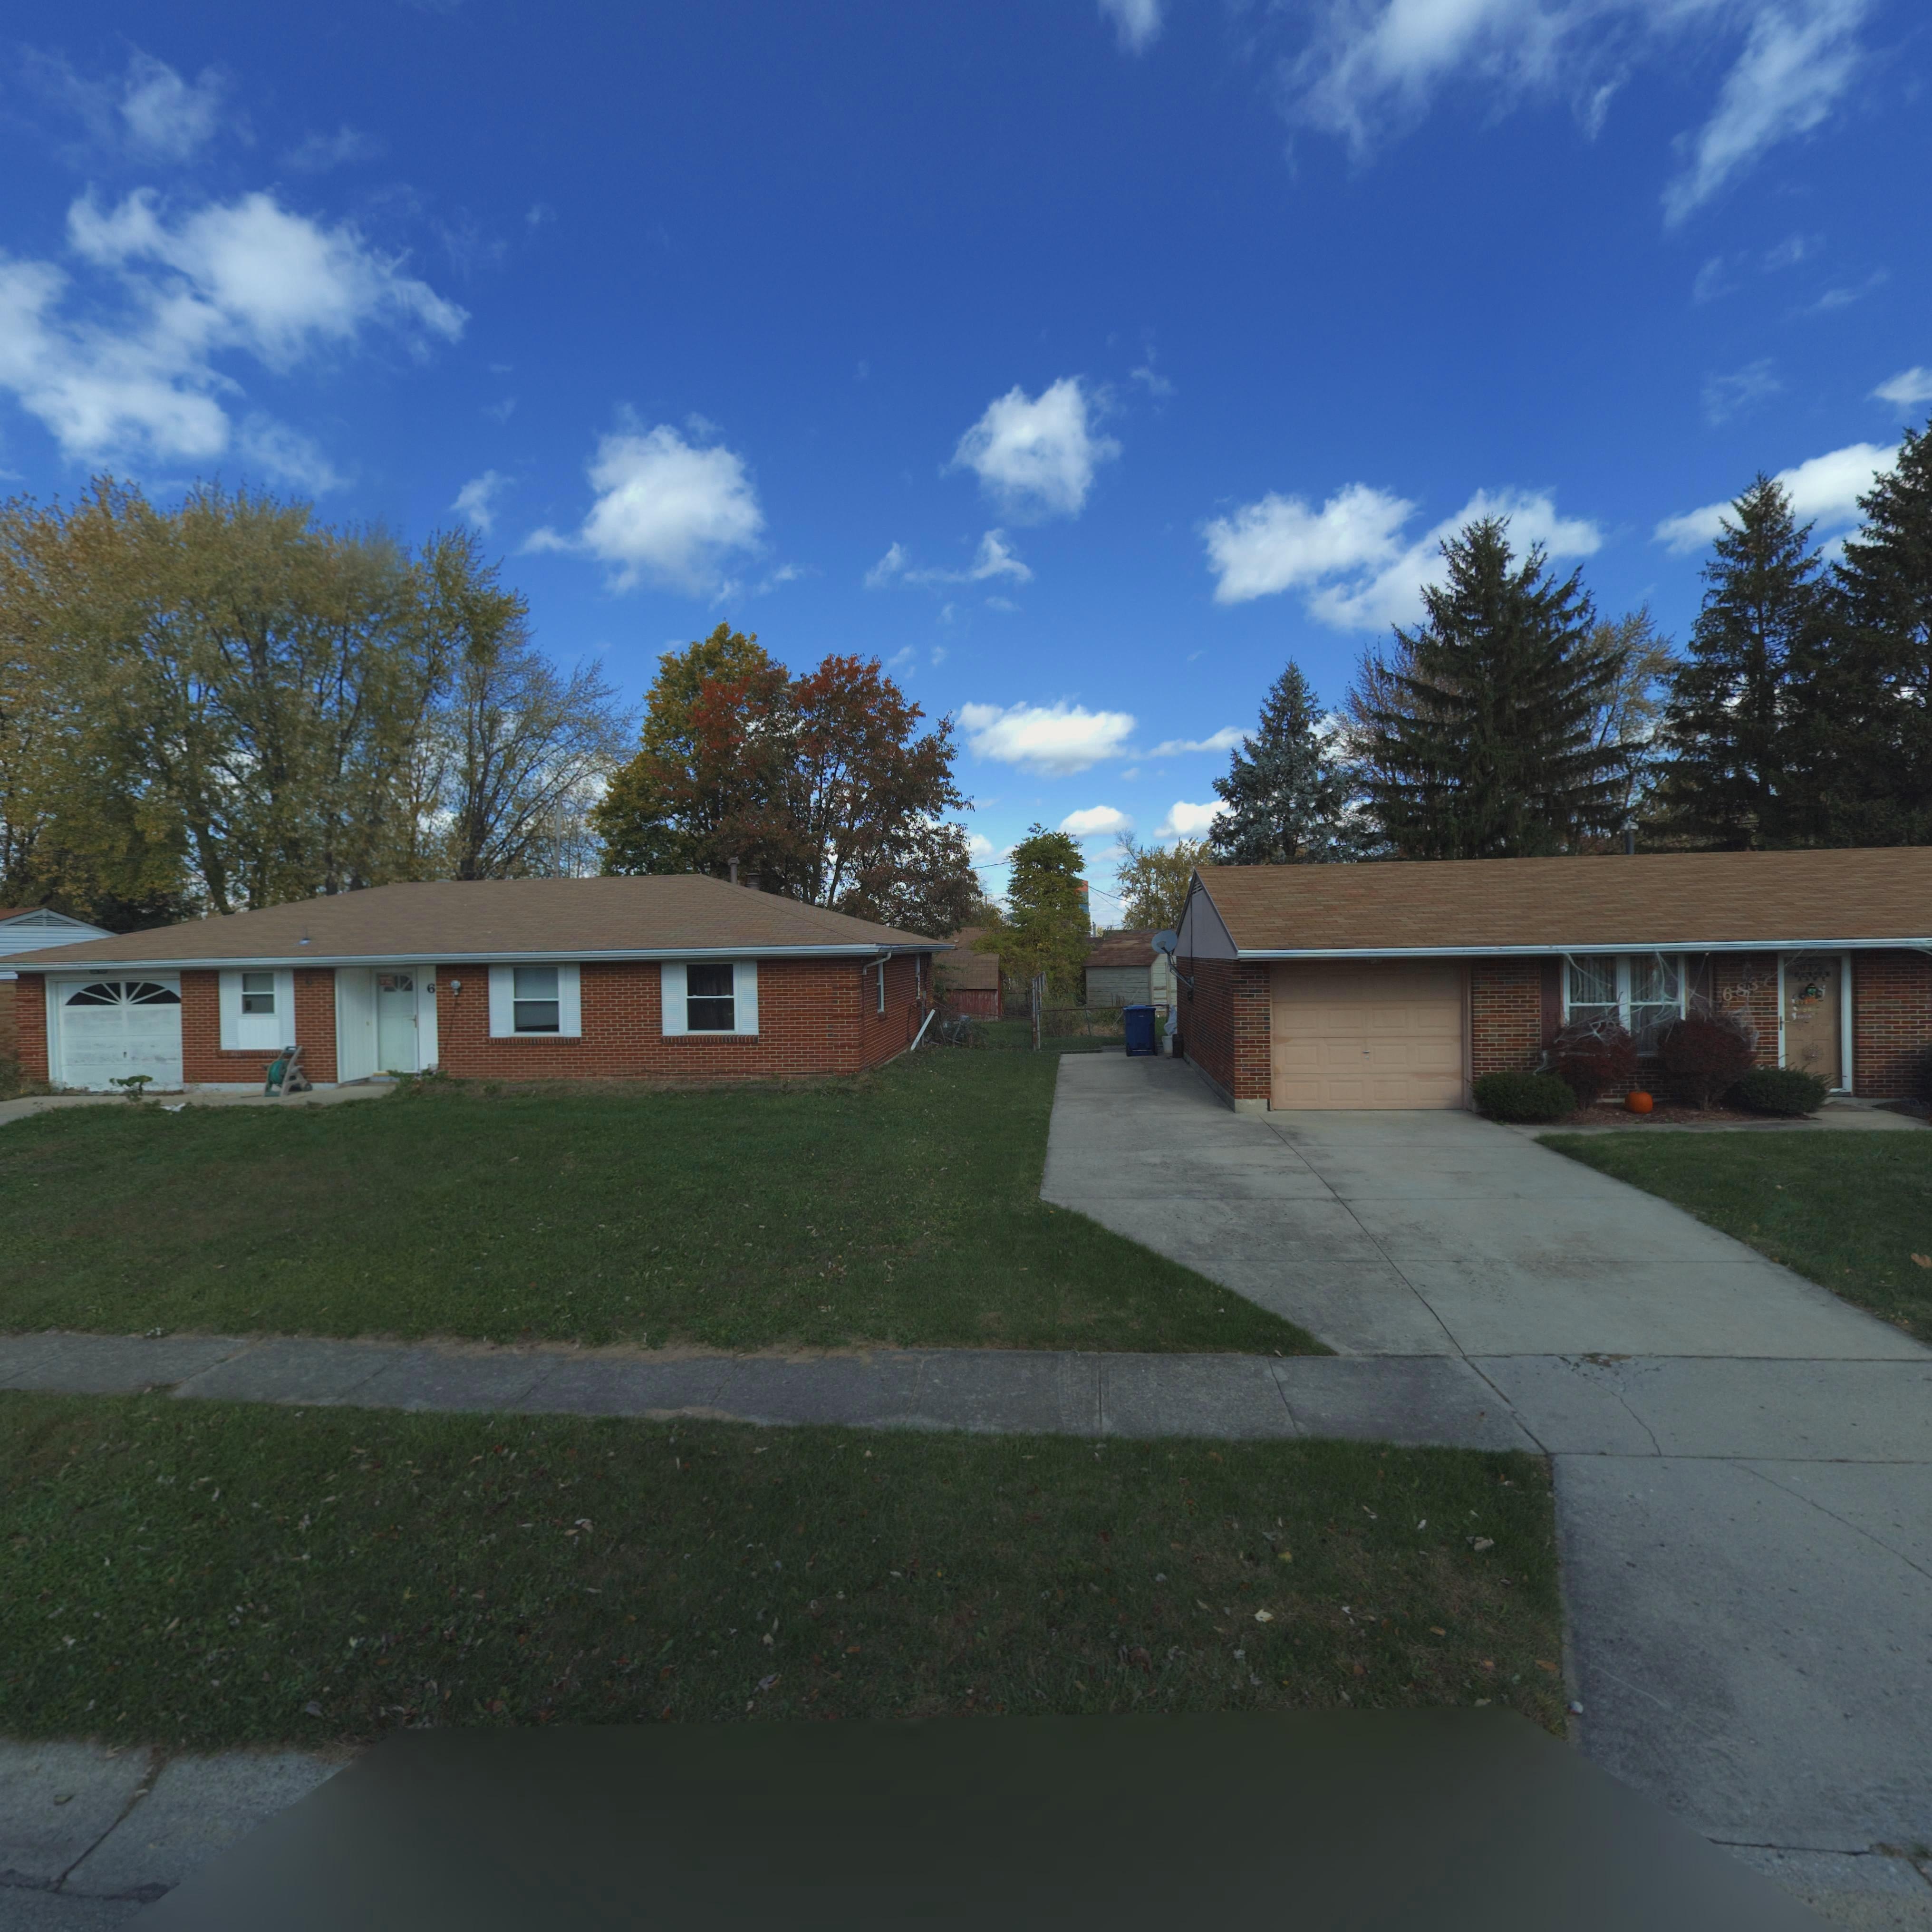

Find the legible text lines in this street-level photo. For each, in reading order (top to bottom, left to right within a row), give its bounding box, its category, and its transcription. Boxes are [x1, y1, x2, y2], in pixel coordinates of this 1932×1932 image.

[426, 982, 436, 995] StreetNumber: 6
[1722, 972, 1772, 1002] StreetNumber: 6887